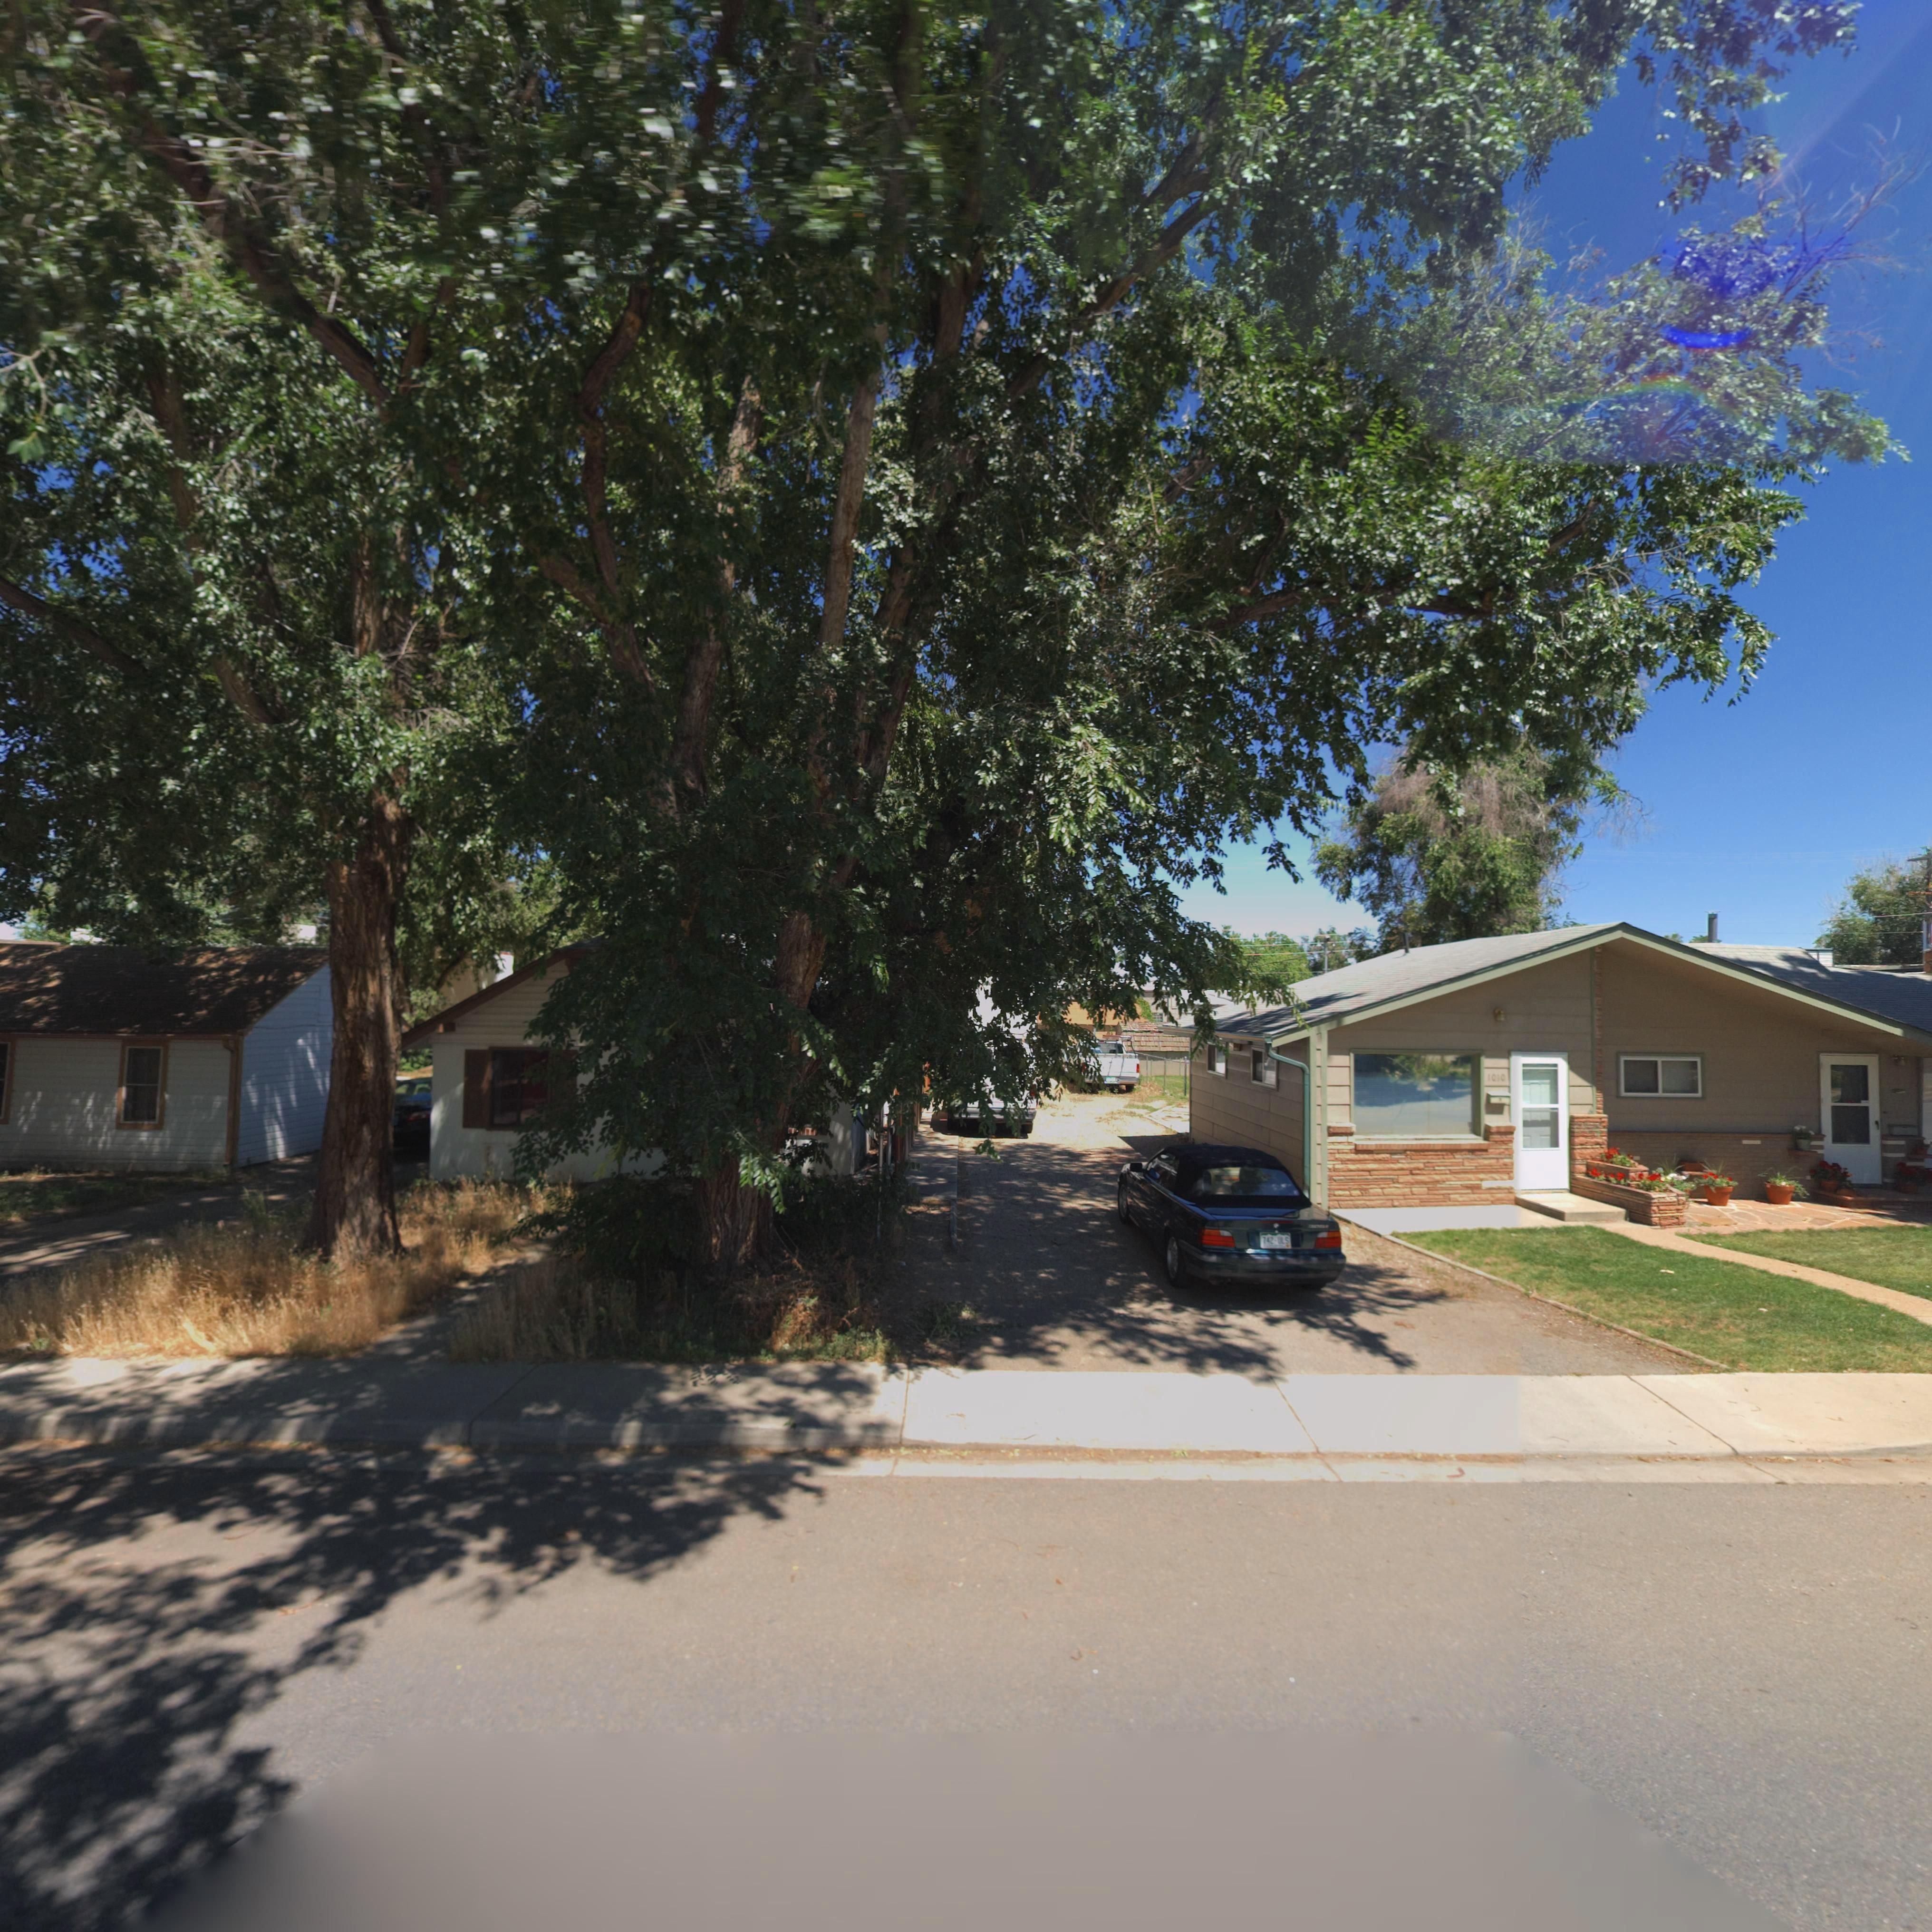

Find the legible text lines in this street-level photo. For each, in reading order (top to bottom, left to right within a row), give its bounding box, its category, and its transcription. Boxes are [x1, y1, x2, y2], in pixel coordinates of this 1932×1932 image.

[1487, 1072, 1506, 1082] StreetNumber: 1010